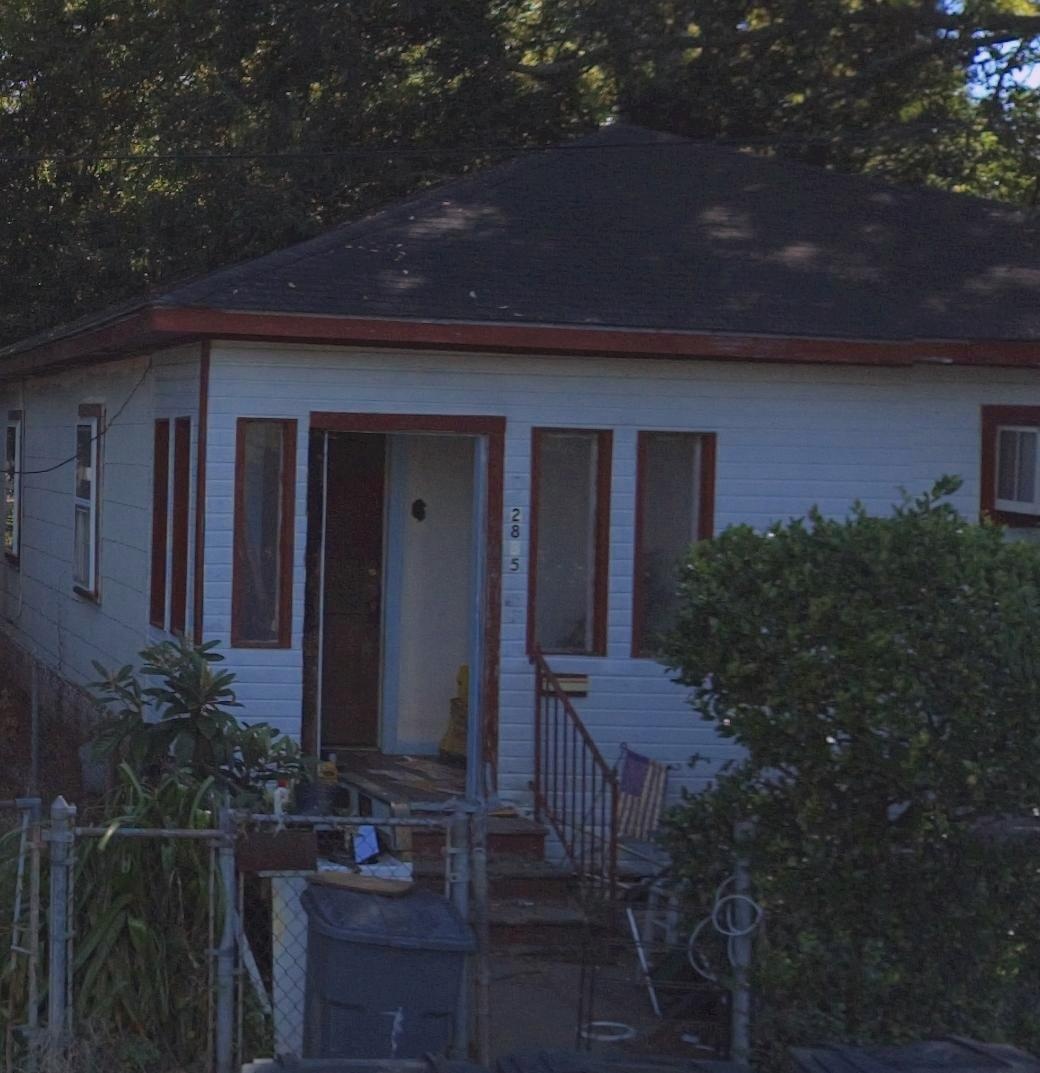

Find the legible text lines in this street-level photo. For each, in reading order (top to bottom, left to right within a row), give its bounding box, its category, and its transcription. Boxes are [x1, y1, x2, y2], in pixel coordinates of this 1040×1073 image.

[508, 504, 522, 577] StreetNumber: 28*5